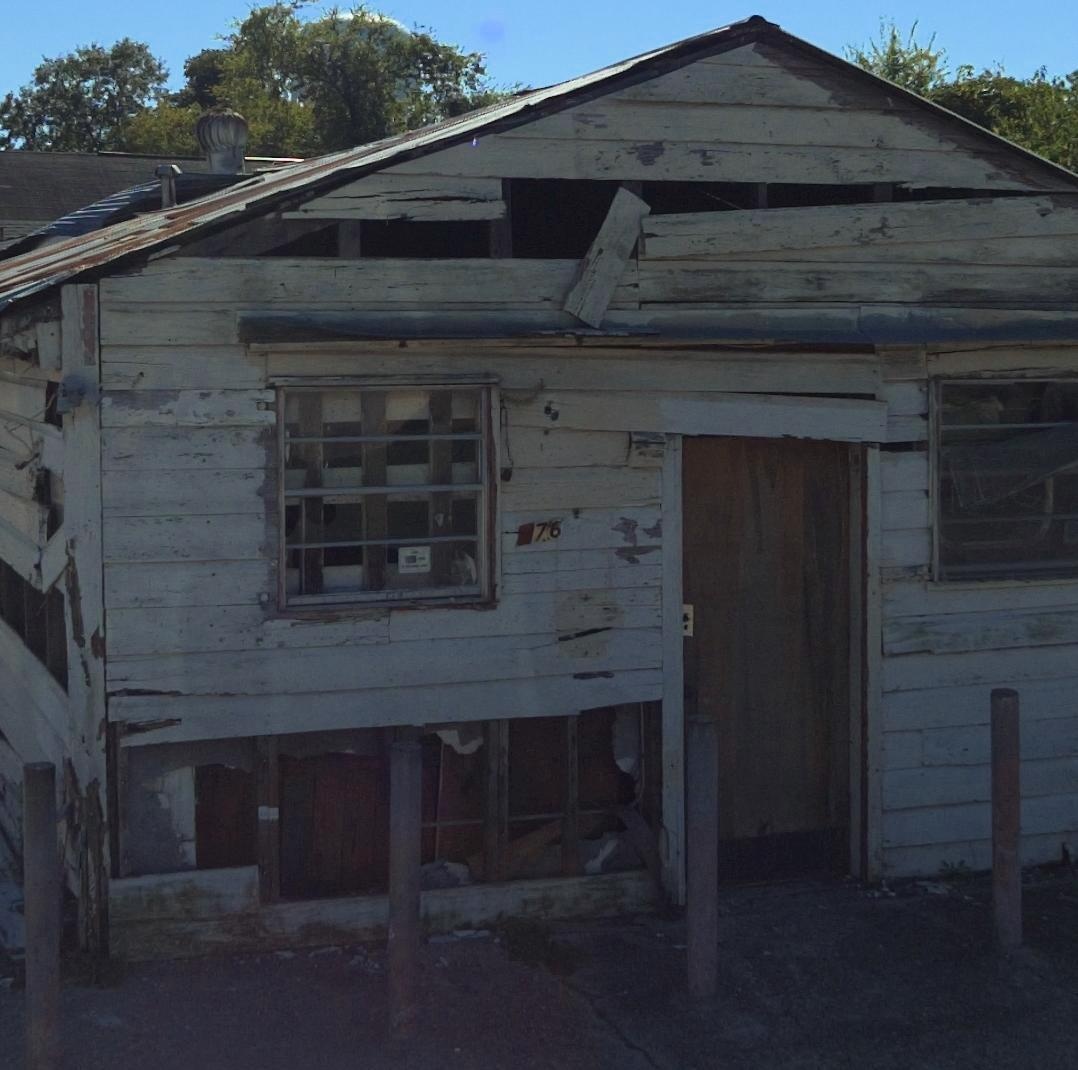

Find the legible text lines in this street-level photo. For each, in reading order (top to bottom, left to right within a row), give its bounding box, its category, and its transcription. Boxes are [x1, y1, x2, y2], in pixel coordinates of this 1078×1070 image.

[532, 519, 563, 545] StreetNumber: 76